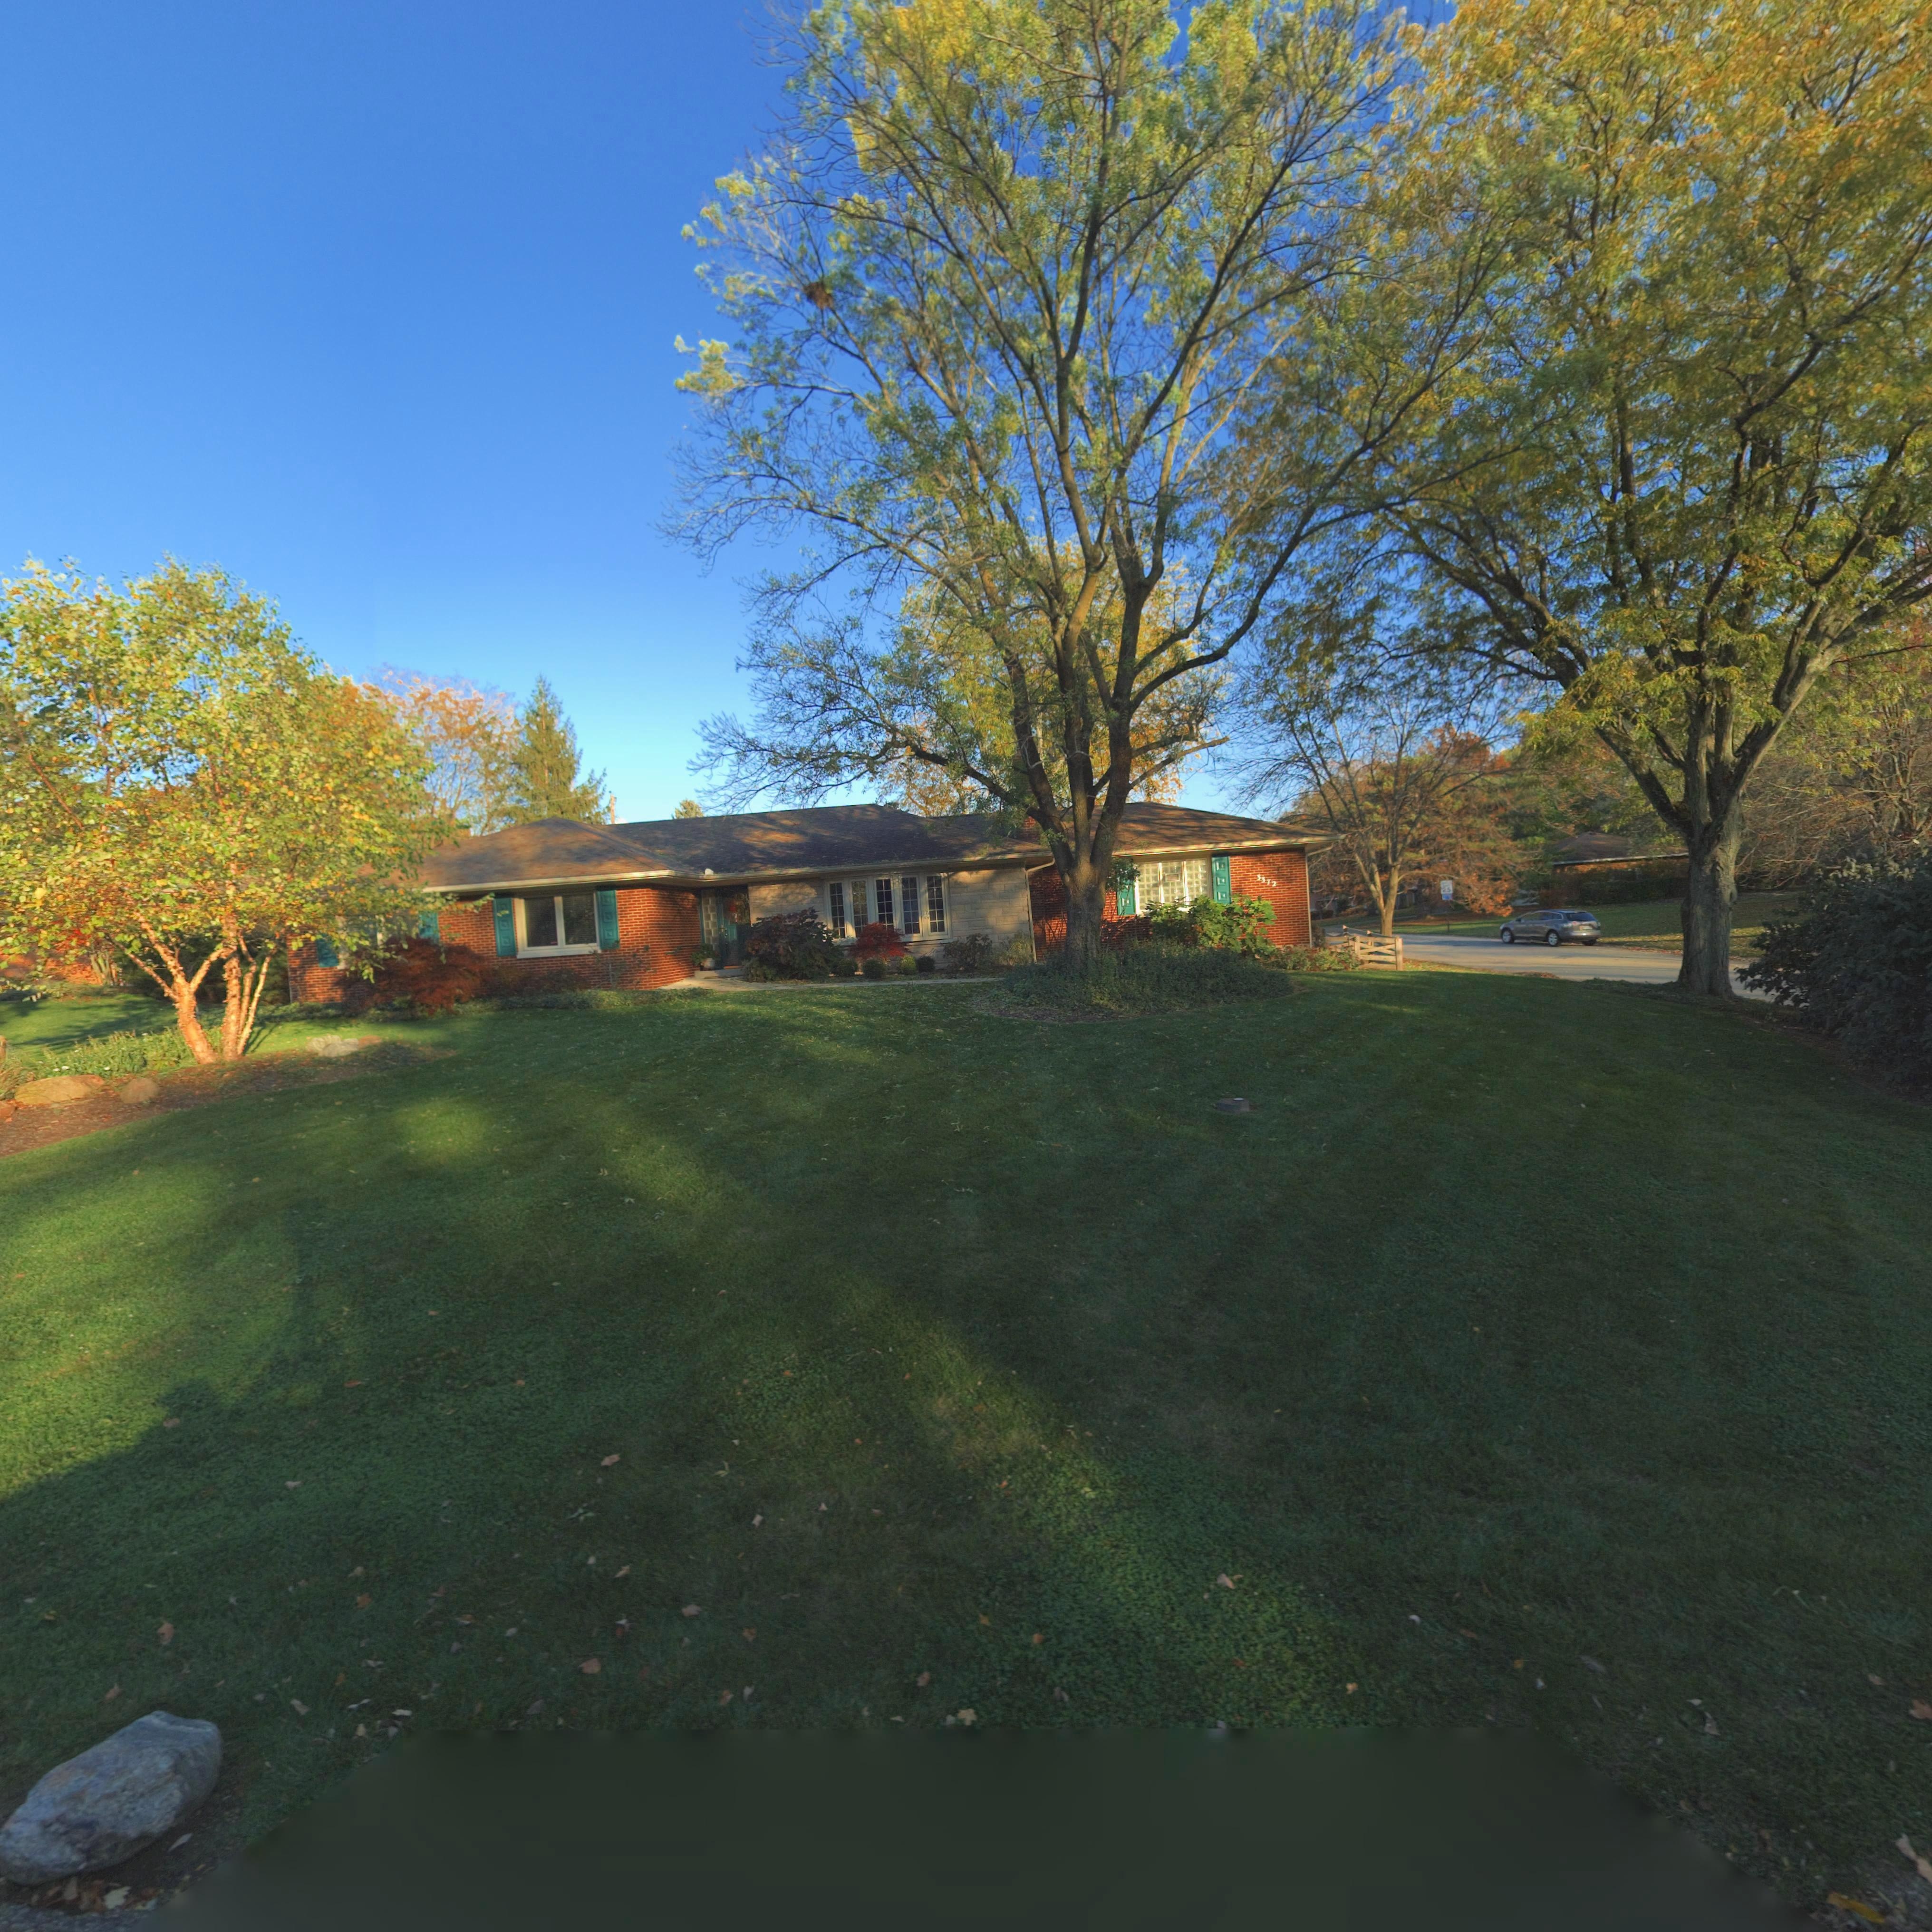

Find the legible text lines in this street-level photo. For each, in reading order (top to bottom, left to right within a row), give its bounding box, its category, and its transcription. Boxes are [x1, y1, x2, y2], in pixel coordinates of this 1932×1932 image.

[1256, 873, 1277, 888] StreetNumber: 3372